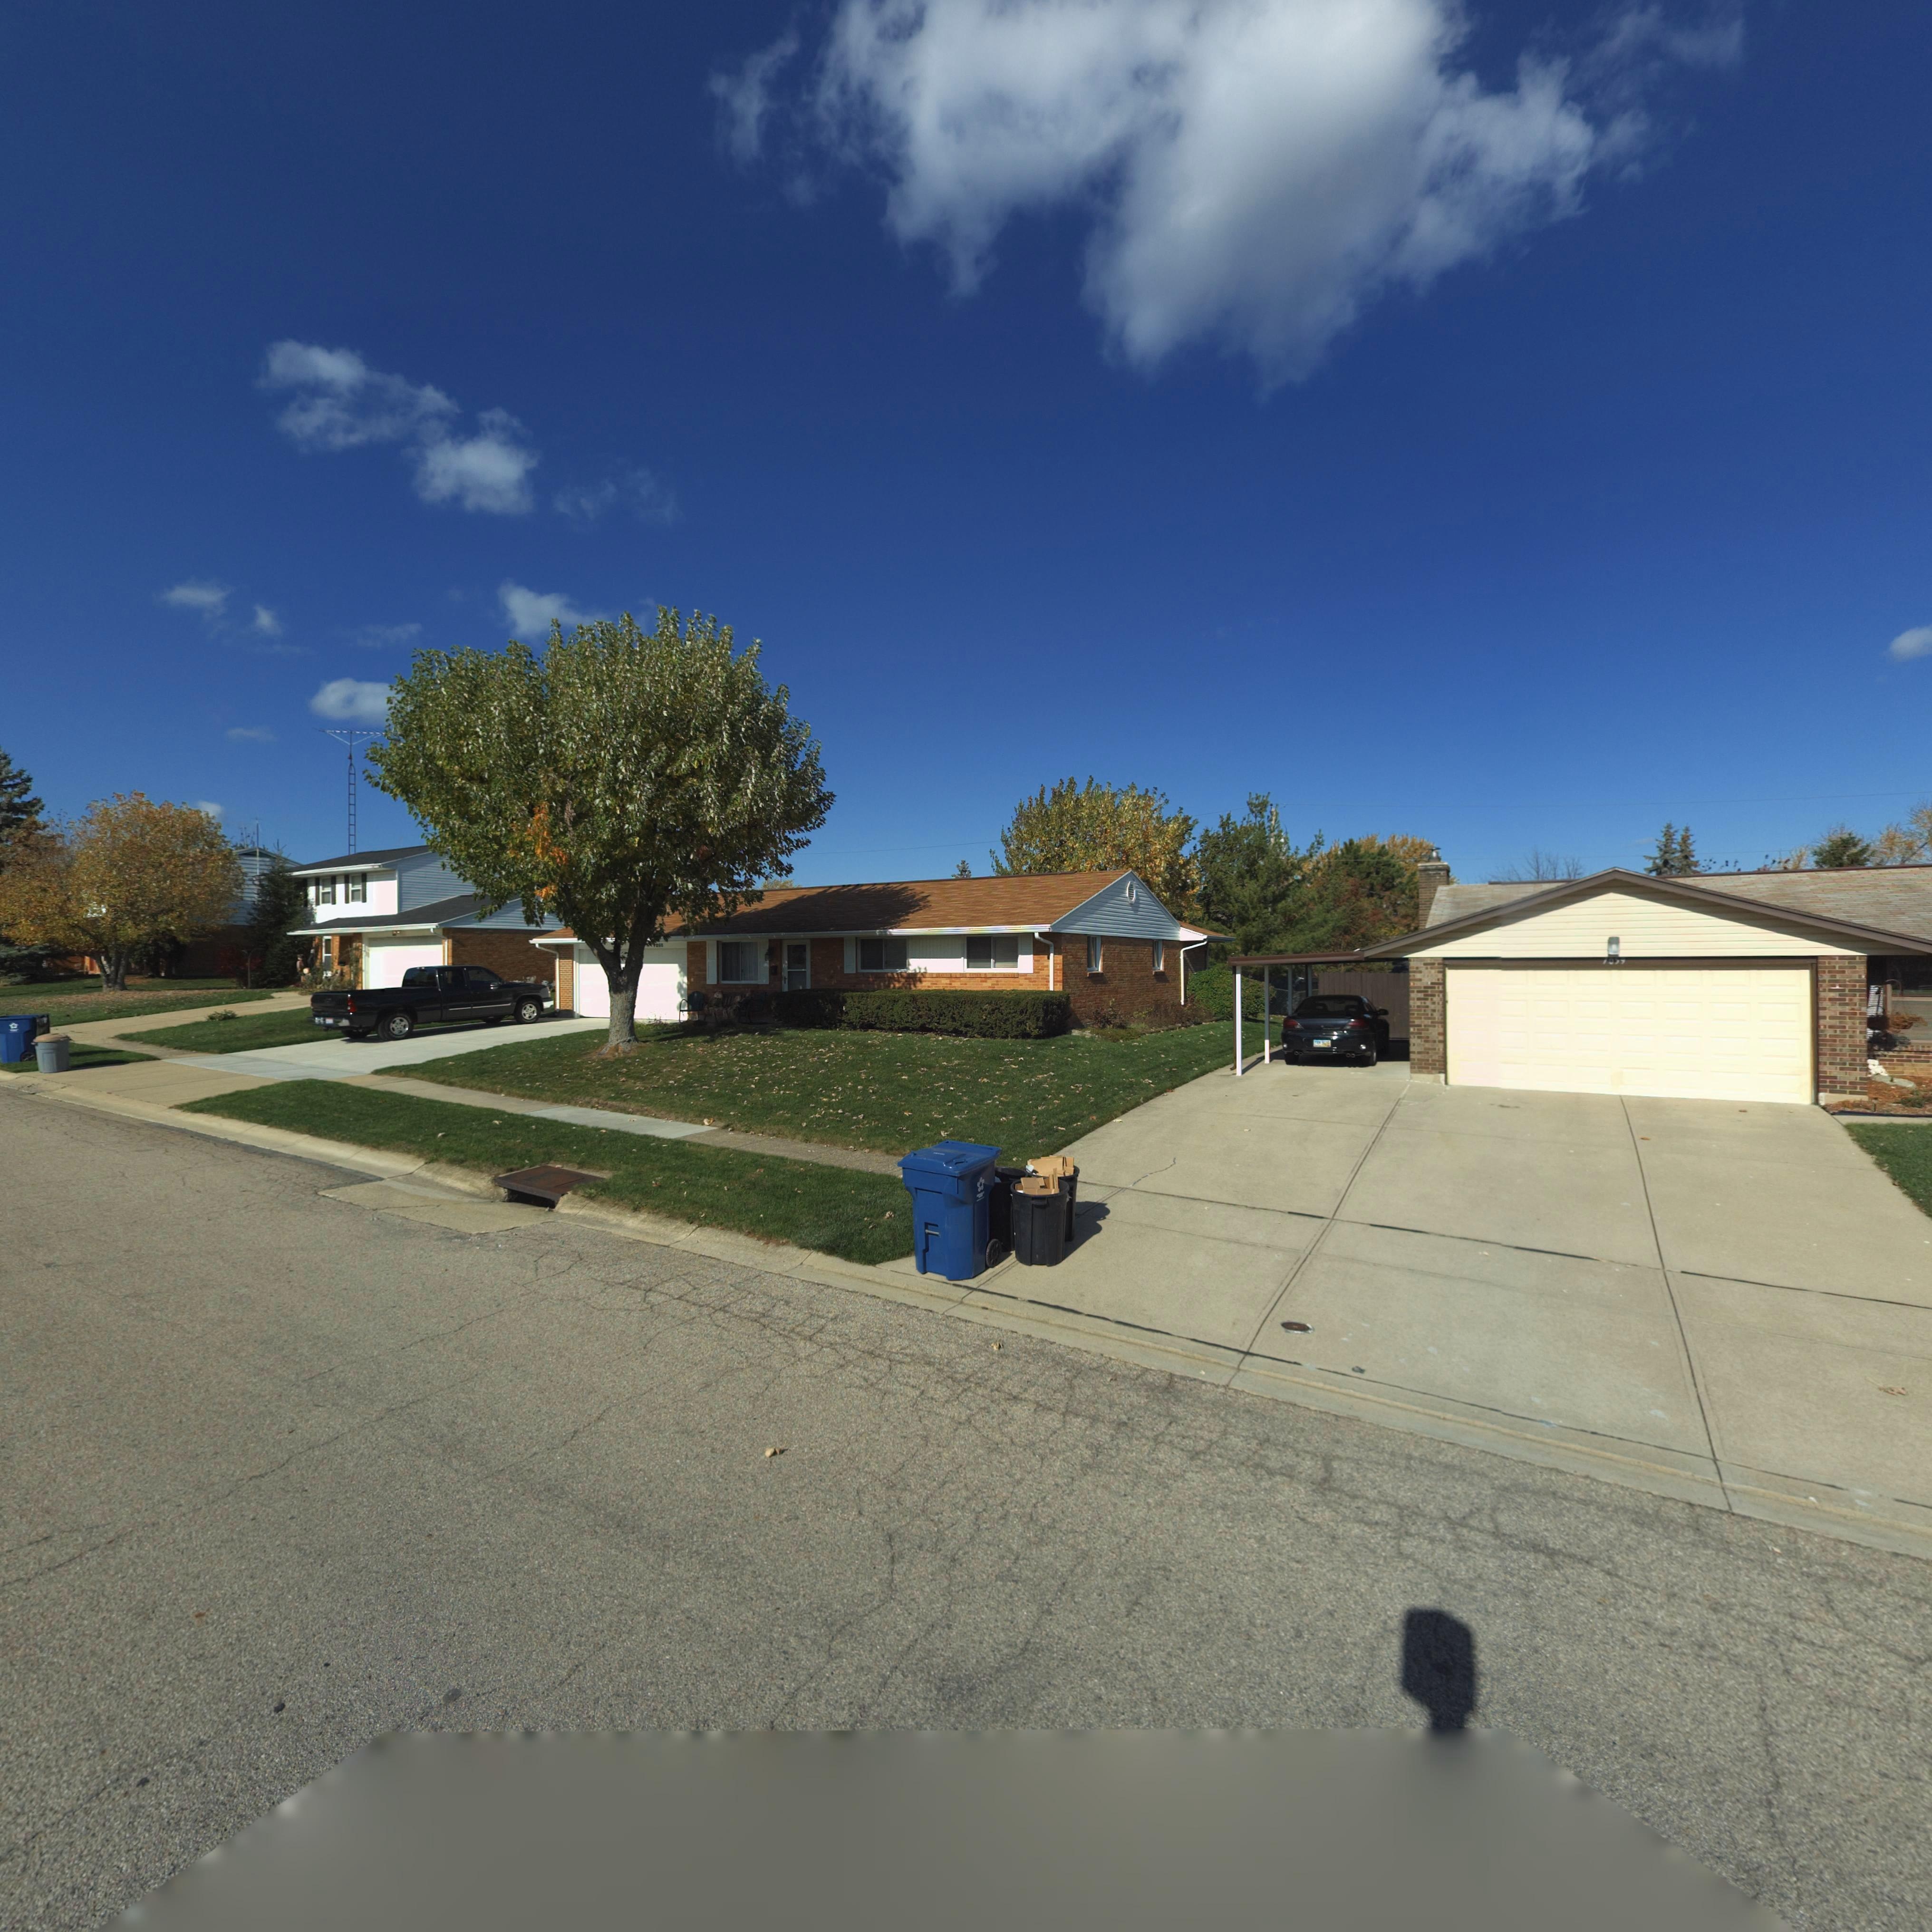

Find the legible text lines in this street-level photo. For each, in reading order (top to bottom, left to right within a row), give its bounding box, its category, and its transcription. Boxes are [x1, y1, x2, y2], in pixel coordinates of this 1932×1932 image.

[1601, 956, 1628, 966] StreetNumber: *0**